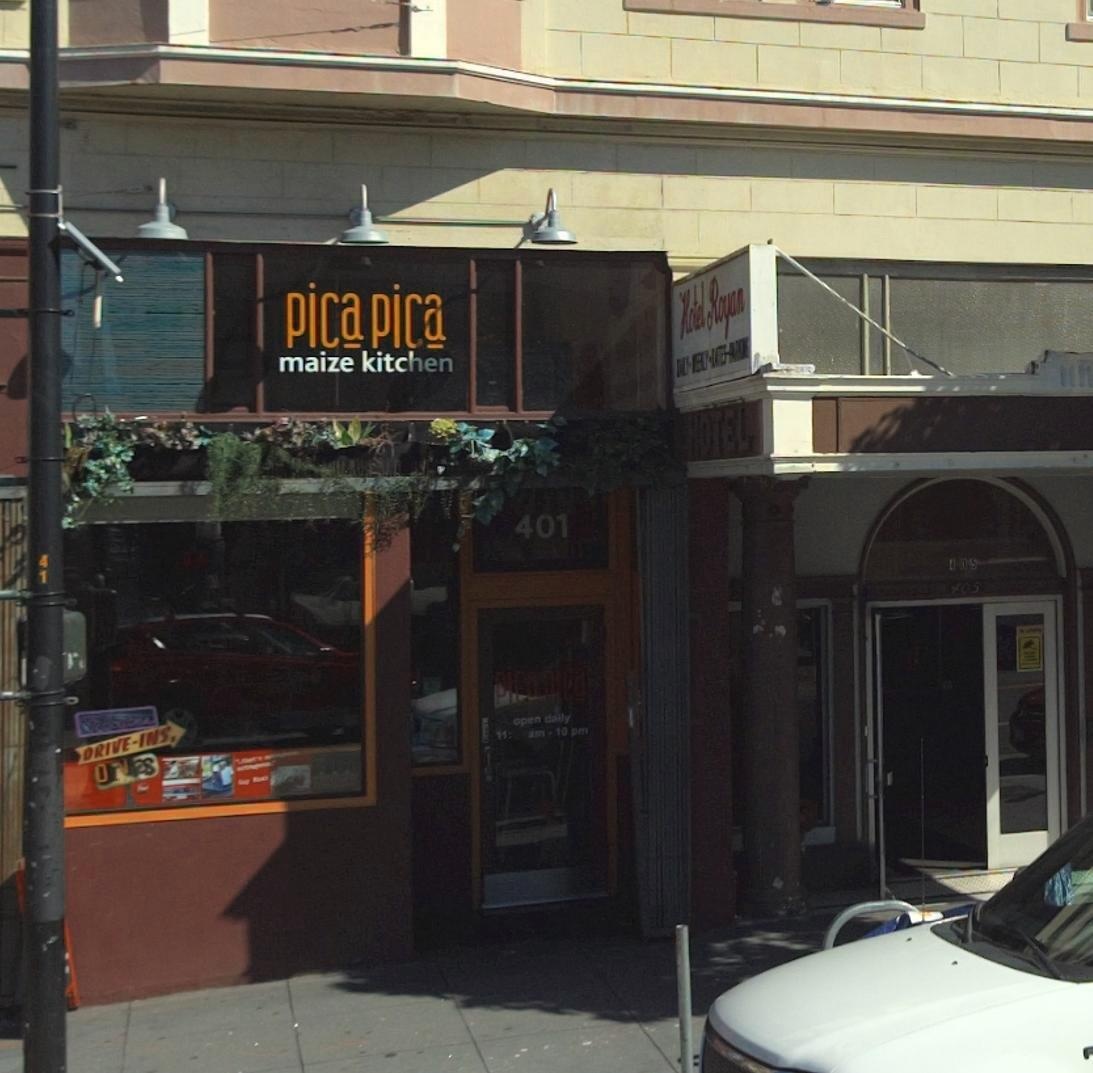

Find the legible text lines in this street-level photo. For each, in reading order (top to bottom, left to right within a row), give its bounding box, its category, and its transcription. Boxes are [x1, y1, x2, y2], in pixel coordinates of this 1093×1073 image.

[284, 281, 448, 350] BusinessName: pica pica
[679, 273, 747, 343] BusinessName: Hotel Royan
[277, 349, 454, 374] BusinessName: maize kitchen
[686, 406, 755, 462] None: HOTEL
[510, 510, 569, 540] StreetNumber: 401
[948, 557, 978, 571] StreetNumber: 405
[949, 581, 982, 595] StreetNumber: 405
[81, 724, 173, 763] None: DRIVE-INS
[511, 712, 573, 728] None: open daily
[494, 726, 590, 742] None: 11: am - 10 pm